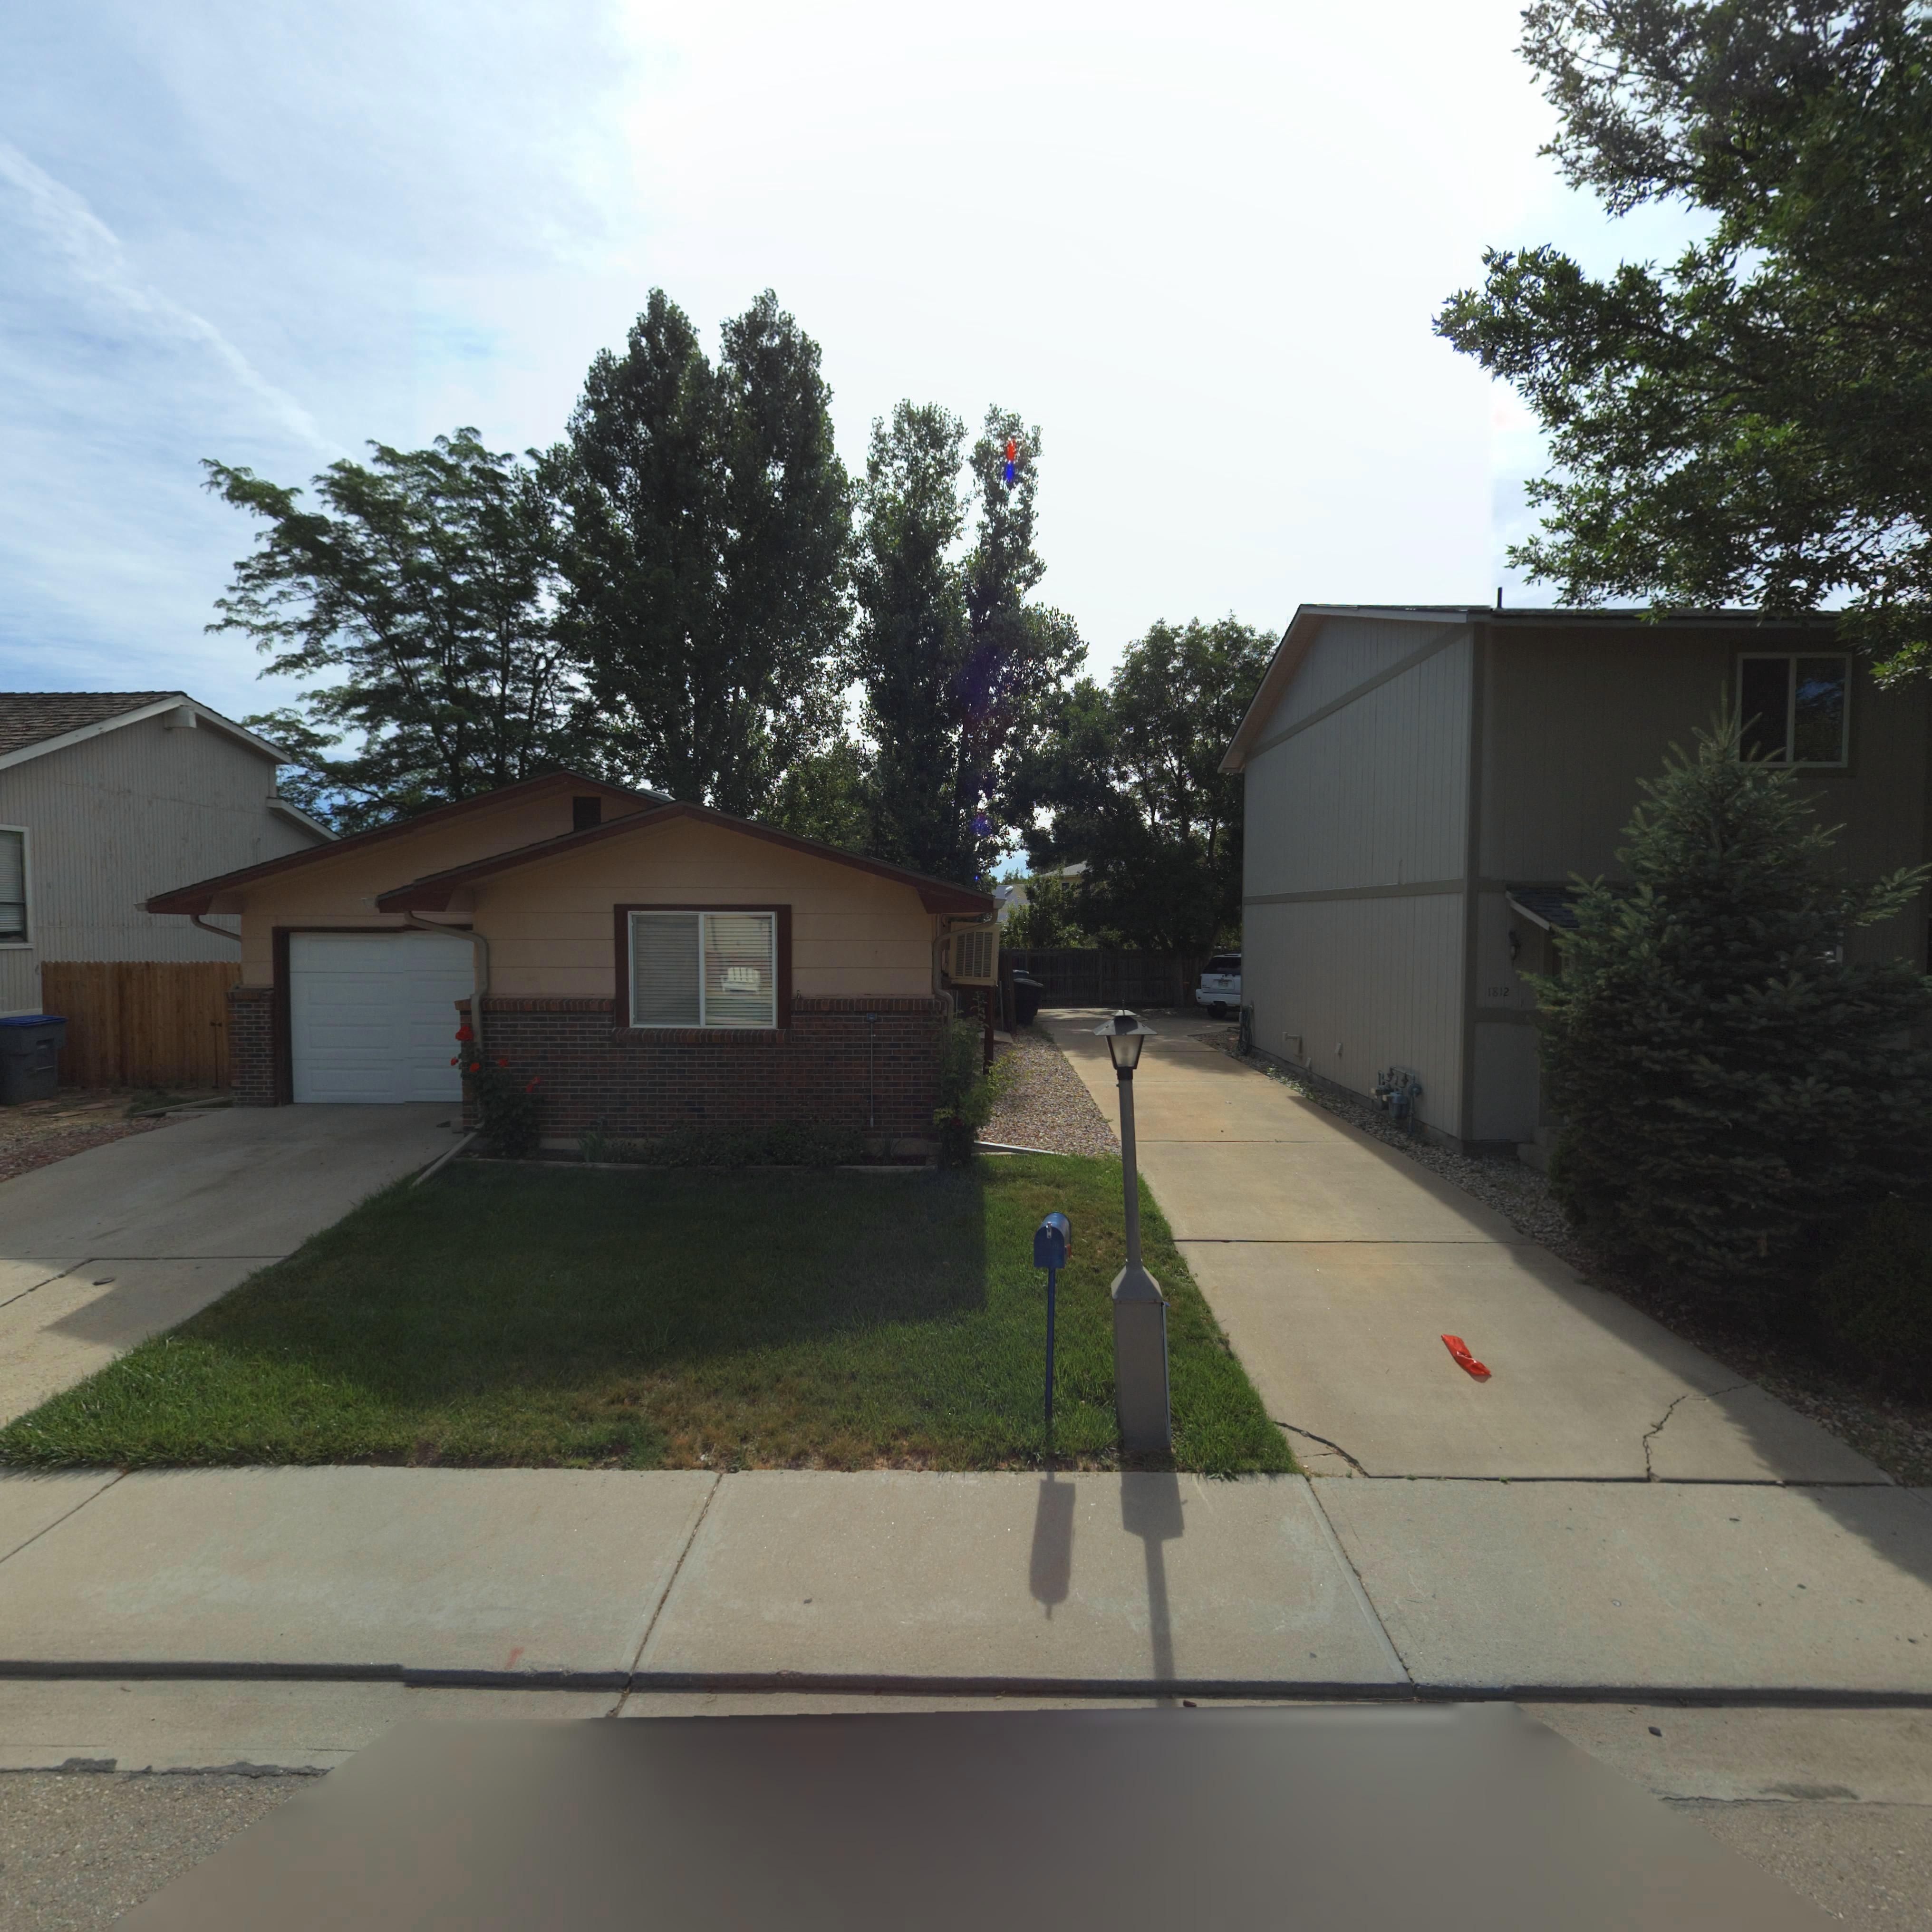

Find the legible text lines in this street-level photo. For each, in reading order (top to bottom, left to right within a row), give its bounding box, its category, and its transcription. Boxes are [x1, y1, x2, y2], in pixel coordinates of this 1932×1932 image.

[1487, 986, 1509, 997] StreetNumber: 1812